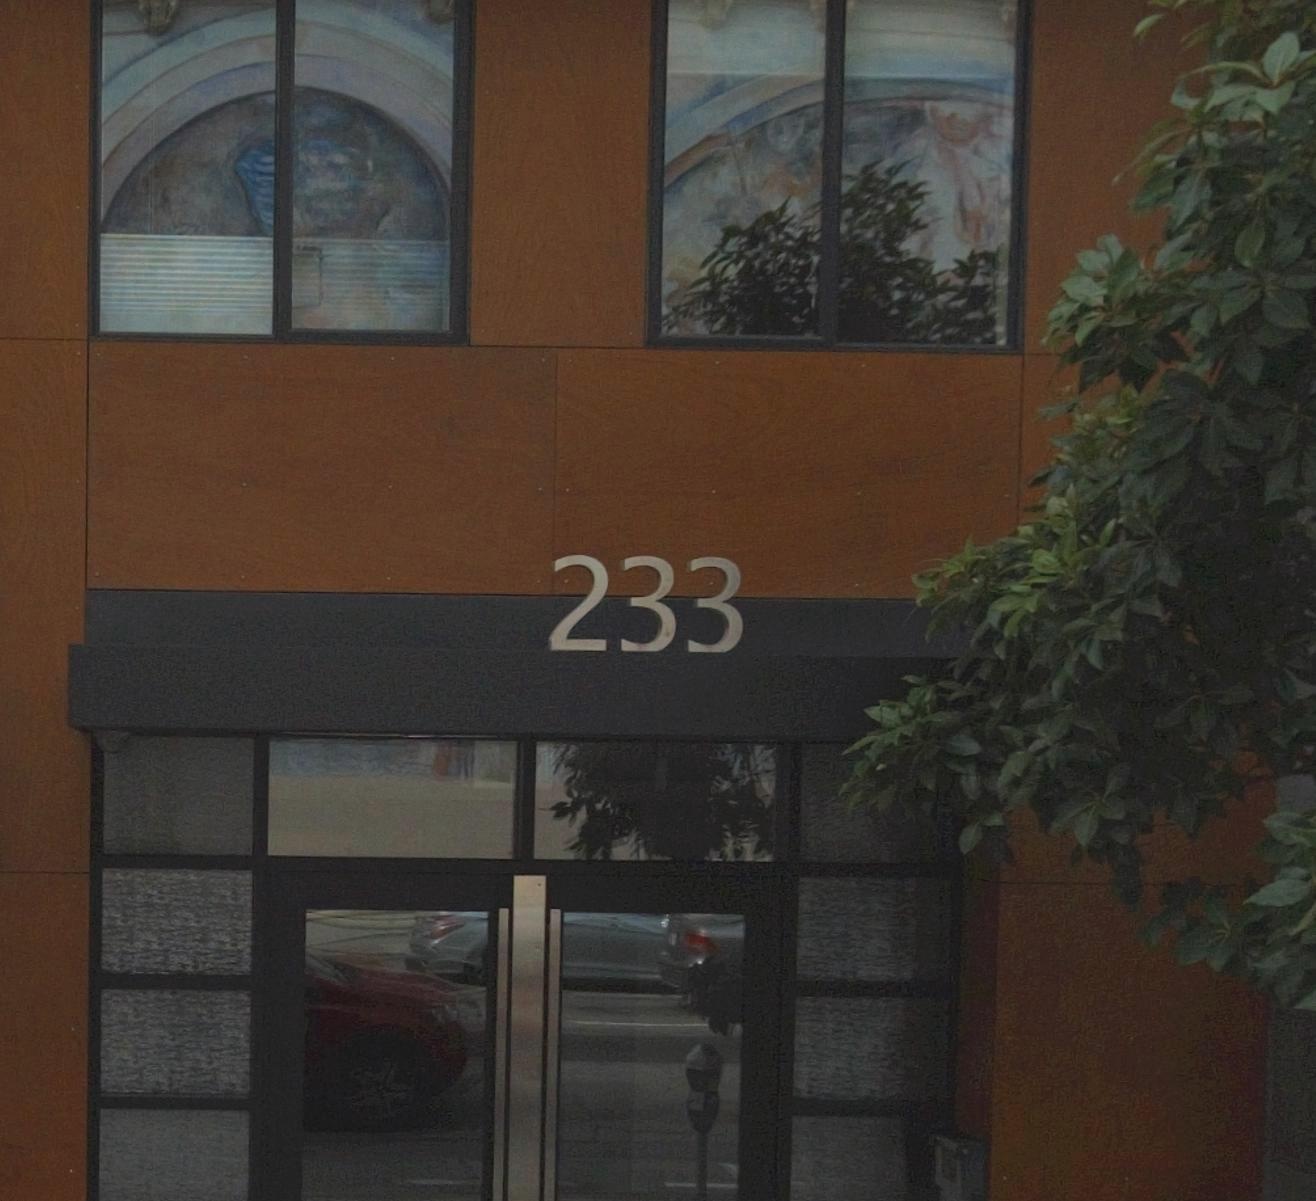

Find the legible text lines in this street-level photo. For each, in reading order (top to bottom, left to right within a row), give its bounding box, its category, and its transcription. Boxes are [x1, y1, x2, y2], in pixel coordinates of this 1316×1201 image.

[545, 552, 750, 656] StreetNumber: 233